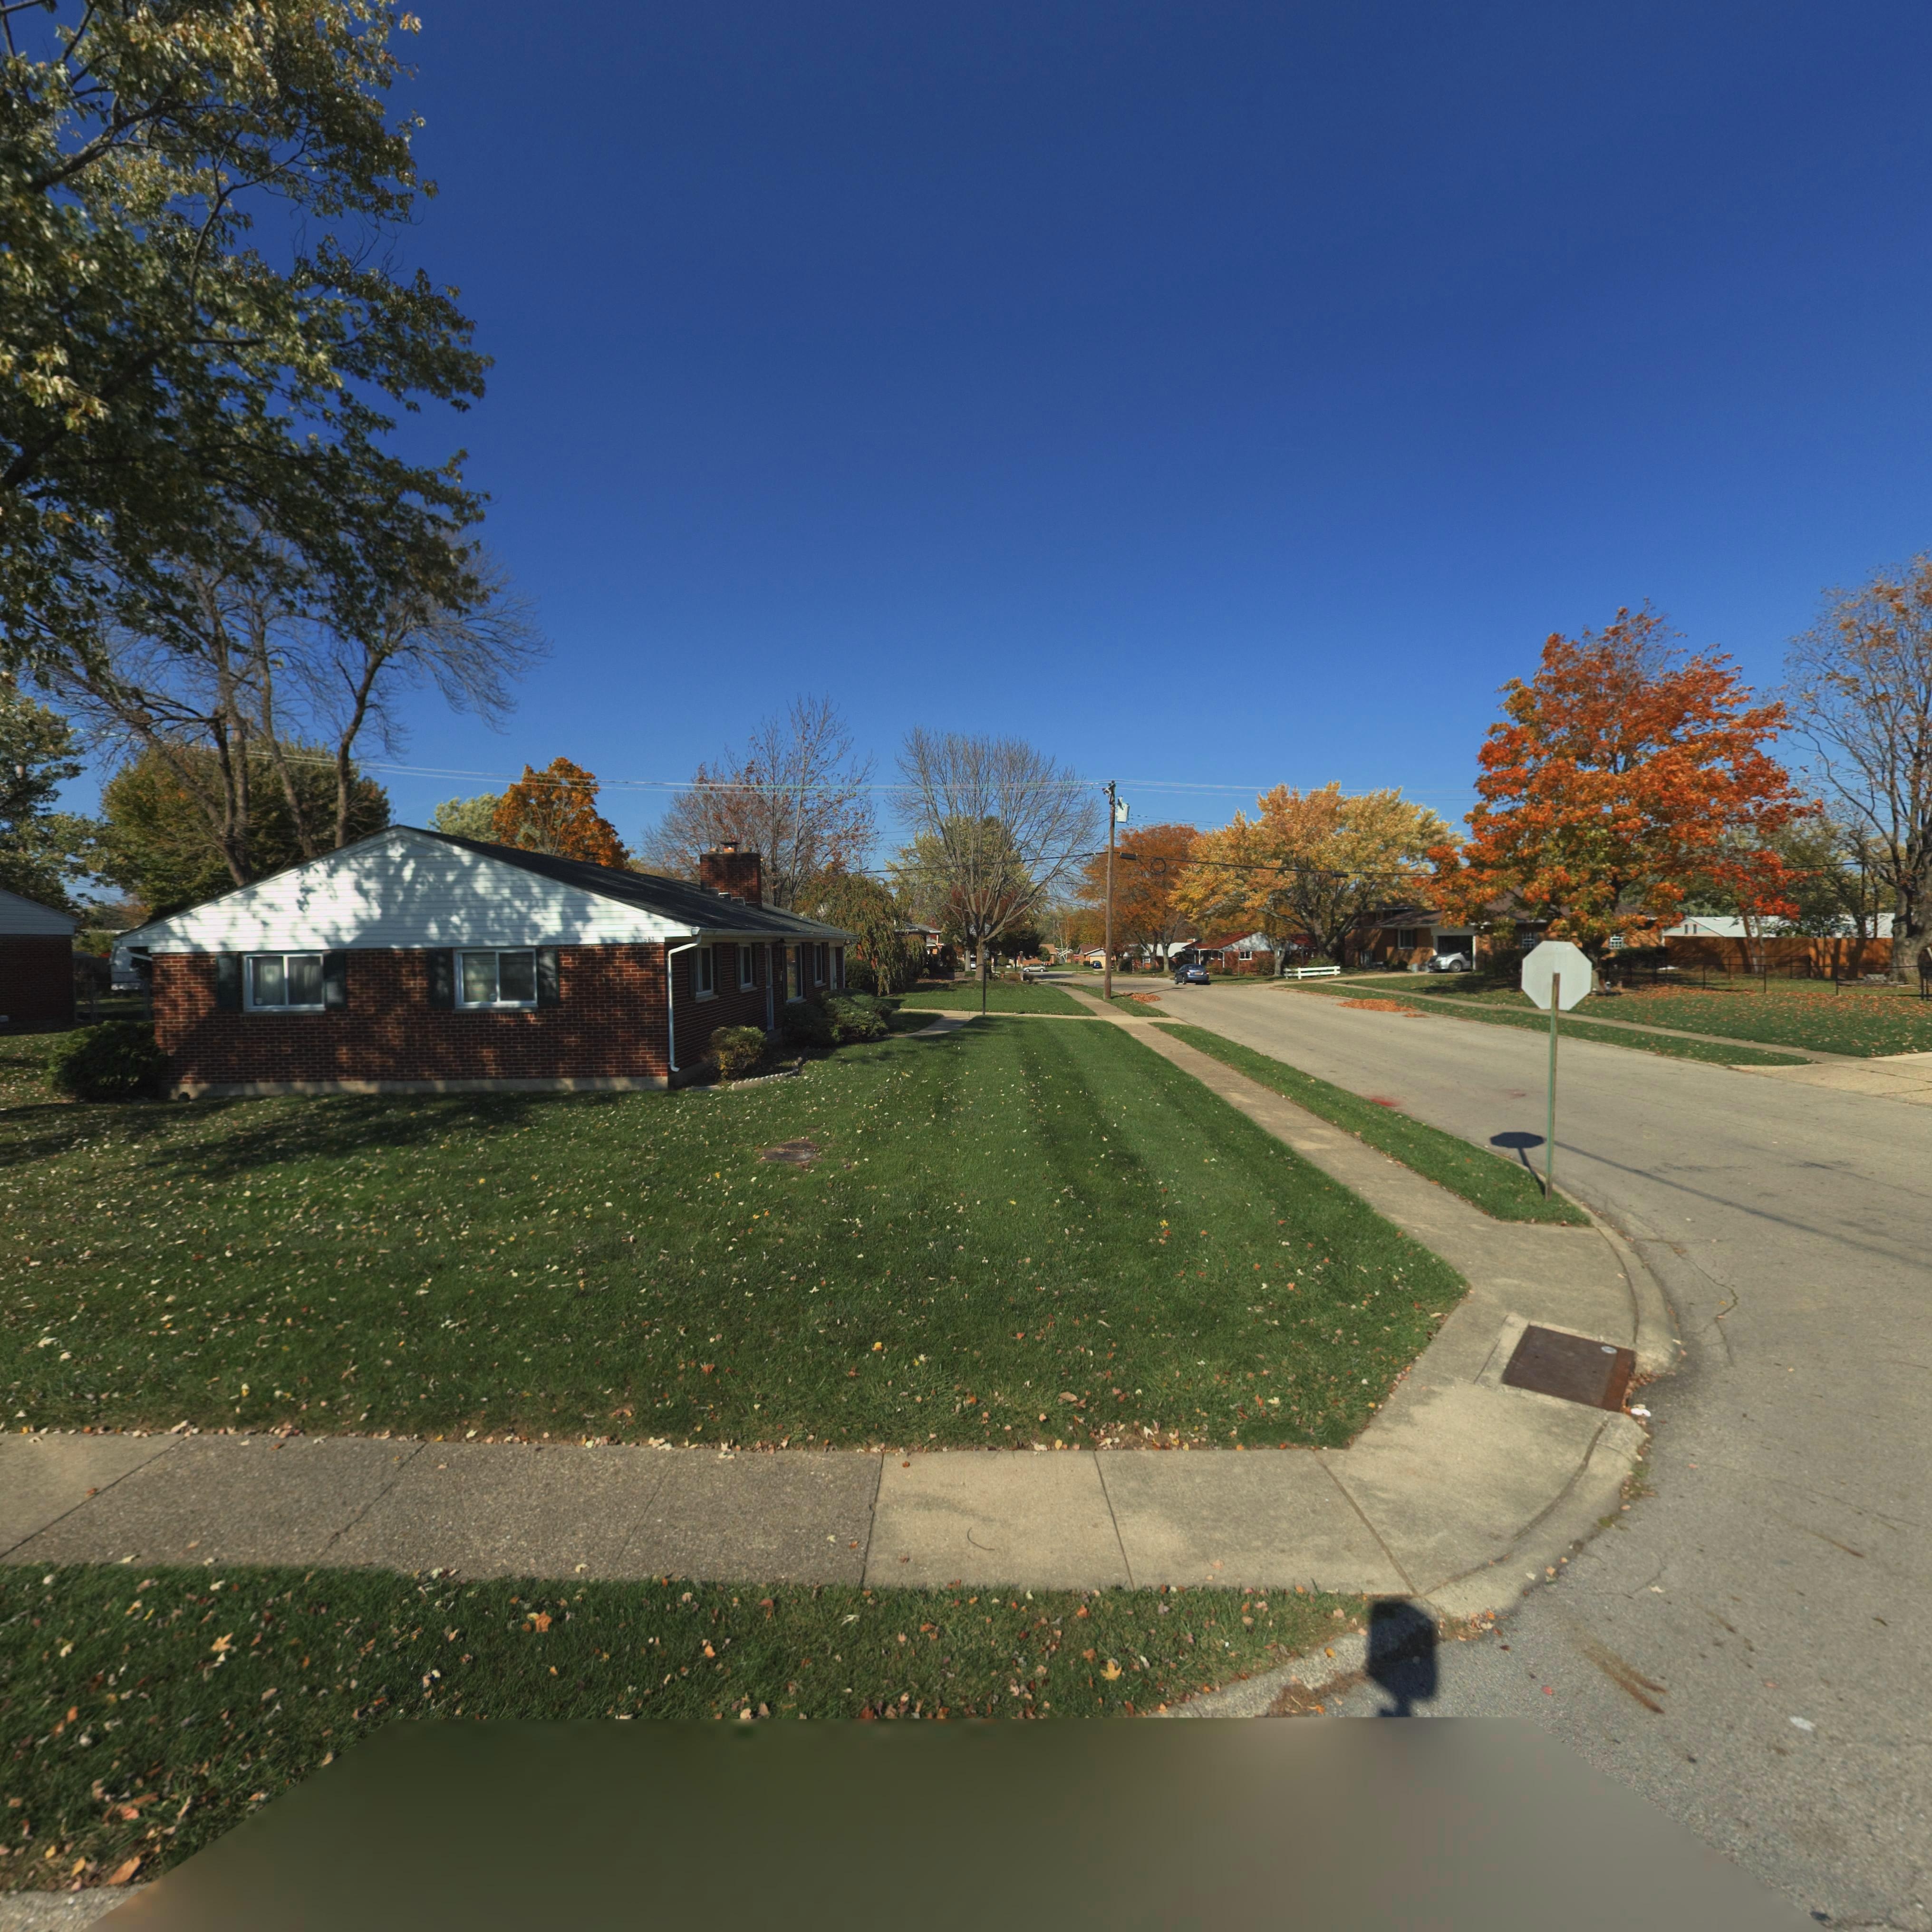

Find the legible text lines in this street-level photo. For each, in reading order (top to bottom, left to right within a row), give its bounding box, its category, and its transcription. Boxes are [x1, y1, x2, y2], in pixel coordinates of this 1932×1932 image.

[642, 936, 656, 943] StreetNumber: *8*